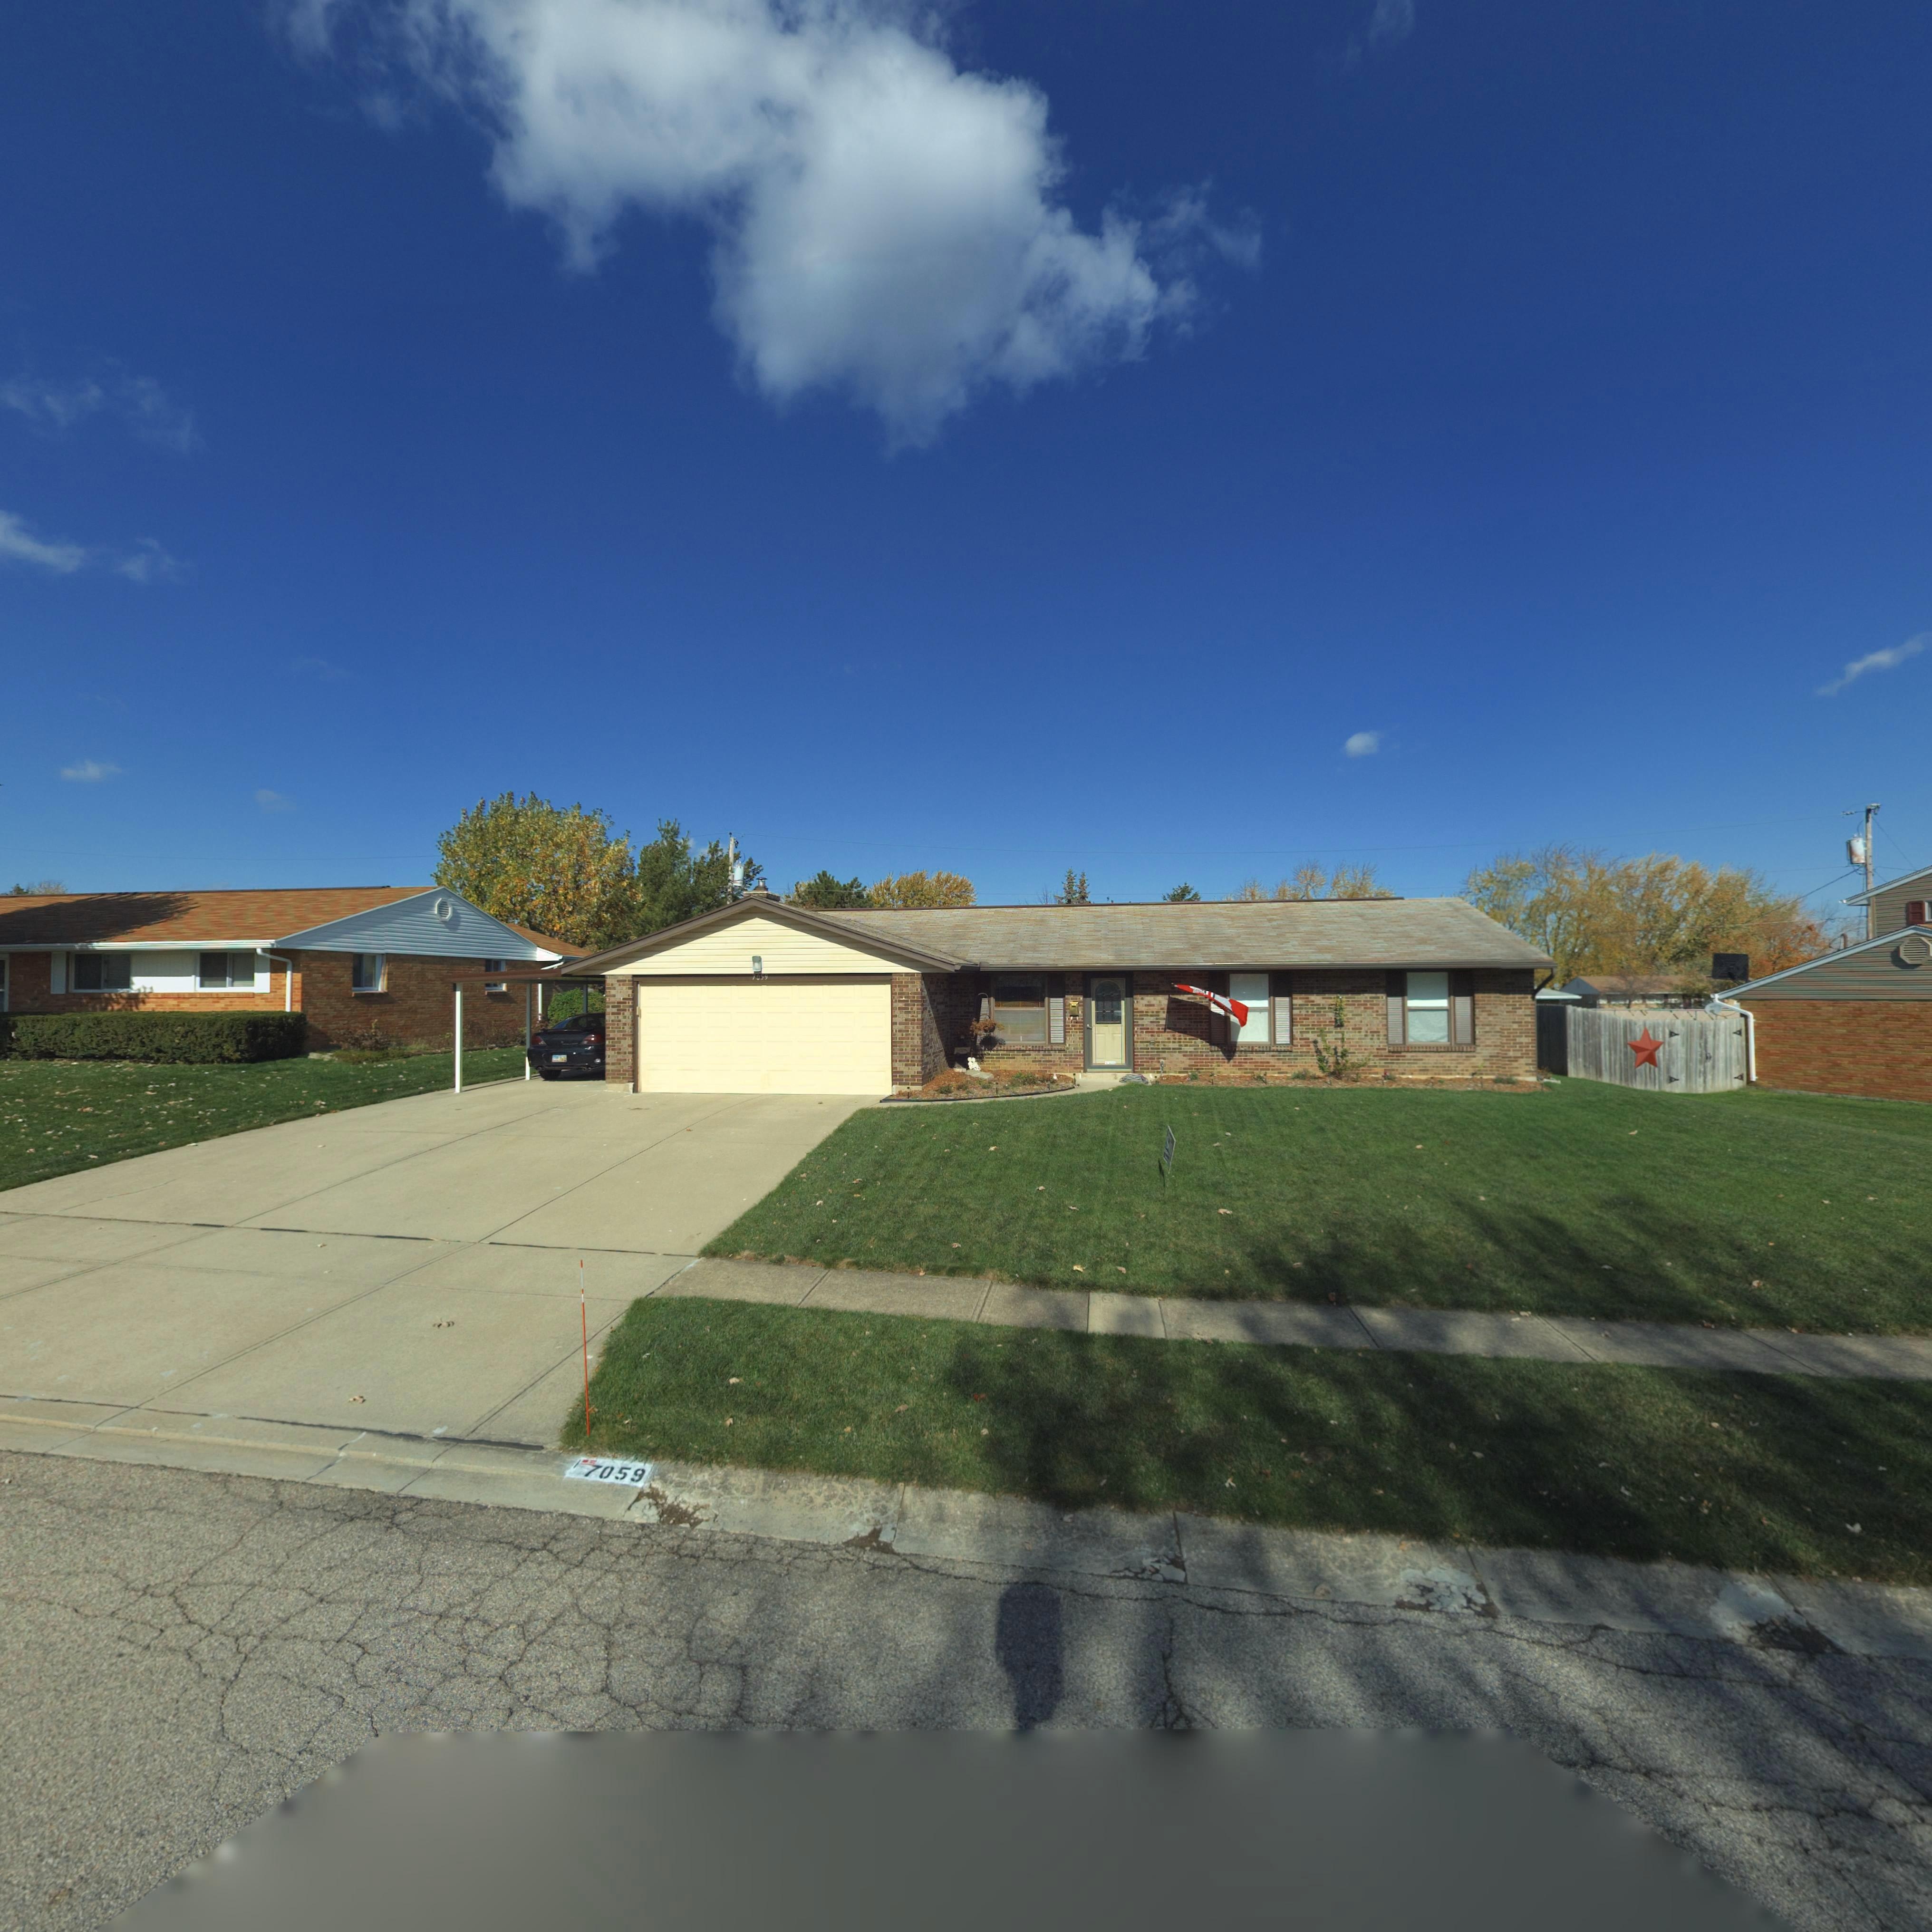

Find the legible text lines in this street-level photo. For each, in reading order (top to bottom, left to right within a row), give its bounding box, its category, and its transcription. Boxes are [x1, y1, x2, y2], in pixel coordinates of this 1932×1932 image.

[751, 972, 769, 982] StreetNumber: 7059
[580, 1462, 647, 1484] StreetNumber: 7059